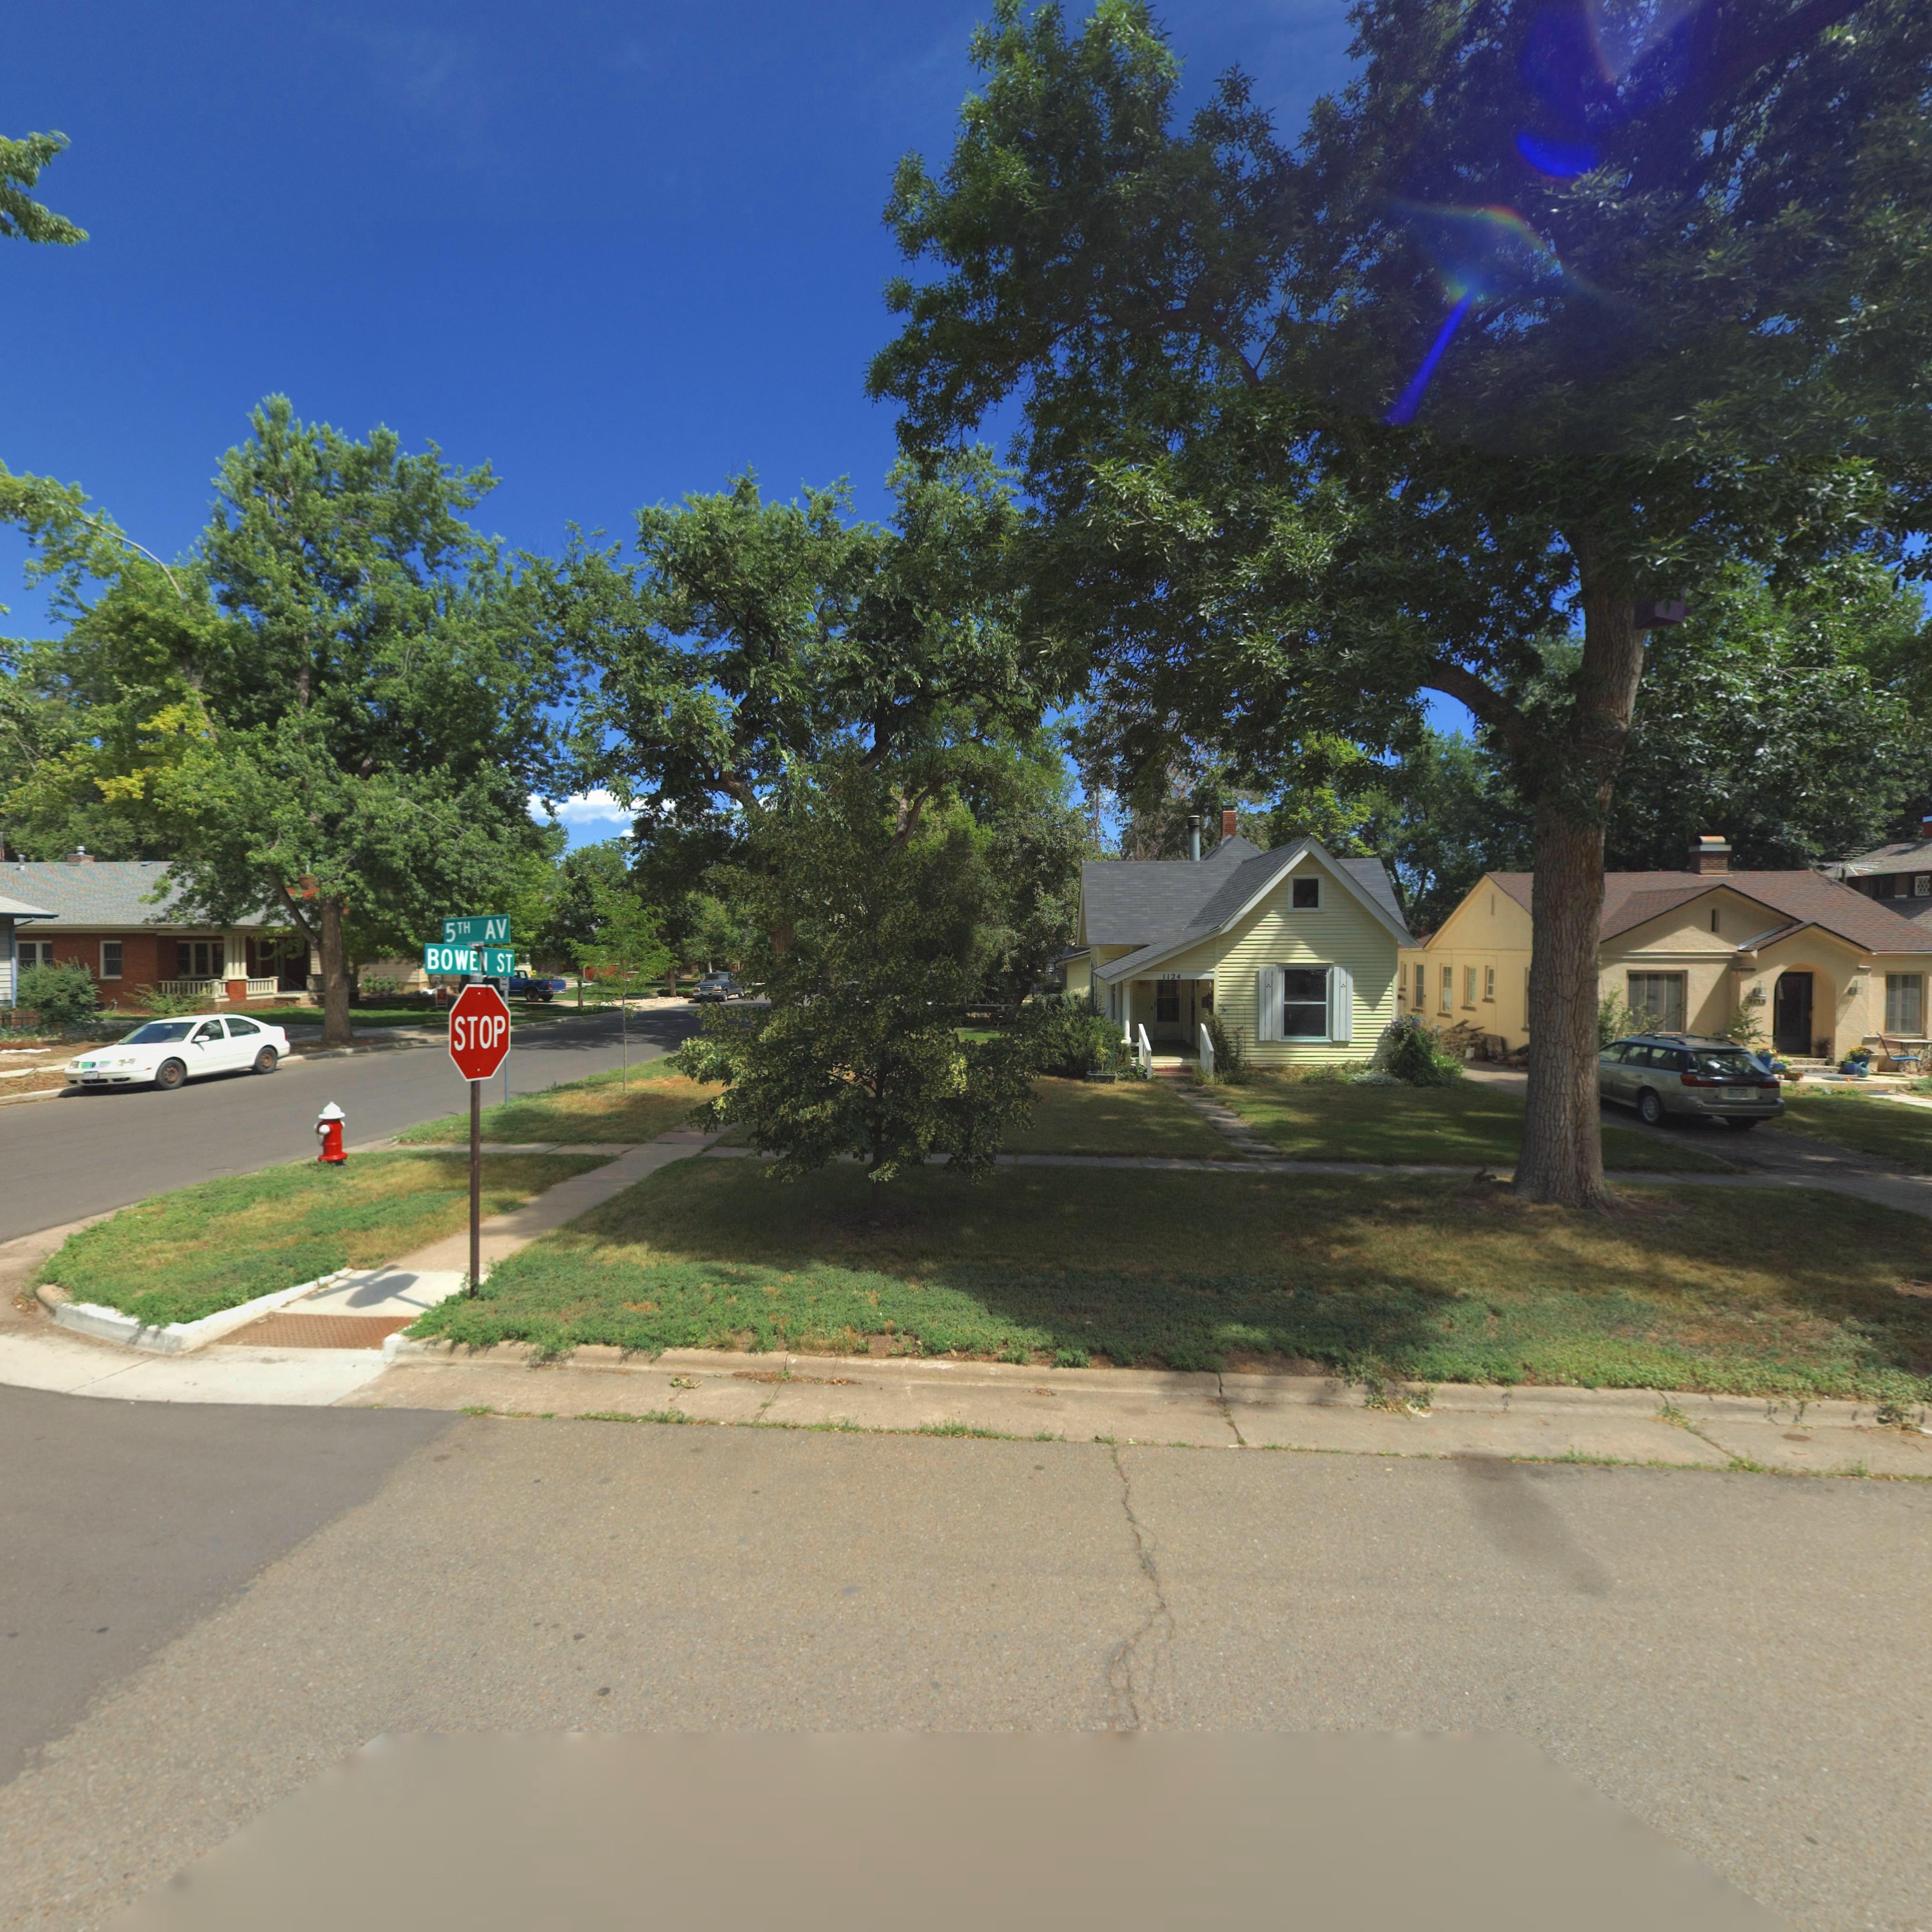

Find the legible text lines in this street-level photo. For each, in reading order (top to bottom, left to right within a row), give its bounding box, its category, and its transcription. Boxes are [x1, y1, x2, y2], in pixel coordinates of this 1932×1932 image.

[445, 918, 507, 942] StreetName: 5TH AV
[427, 948, 512, 972] StreetName: BOWEN ST
[1163, 973, 1180, 979] StreetNumber: 1124